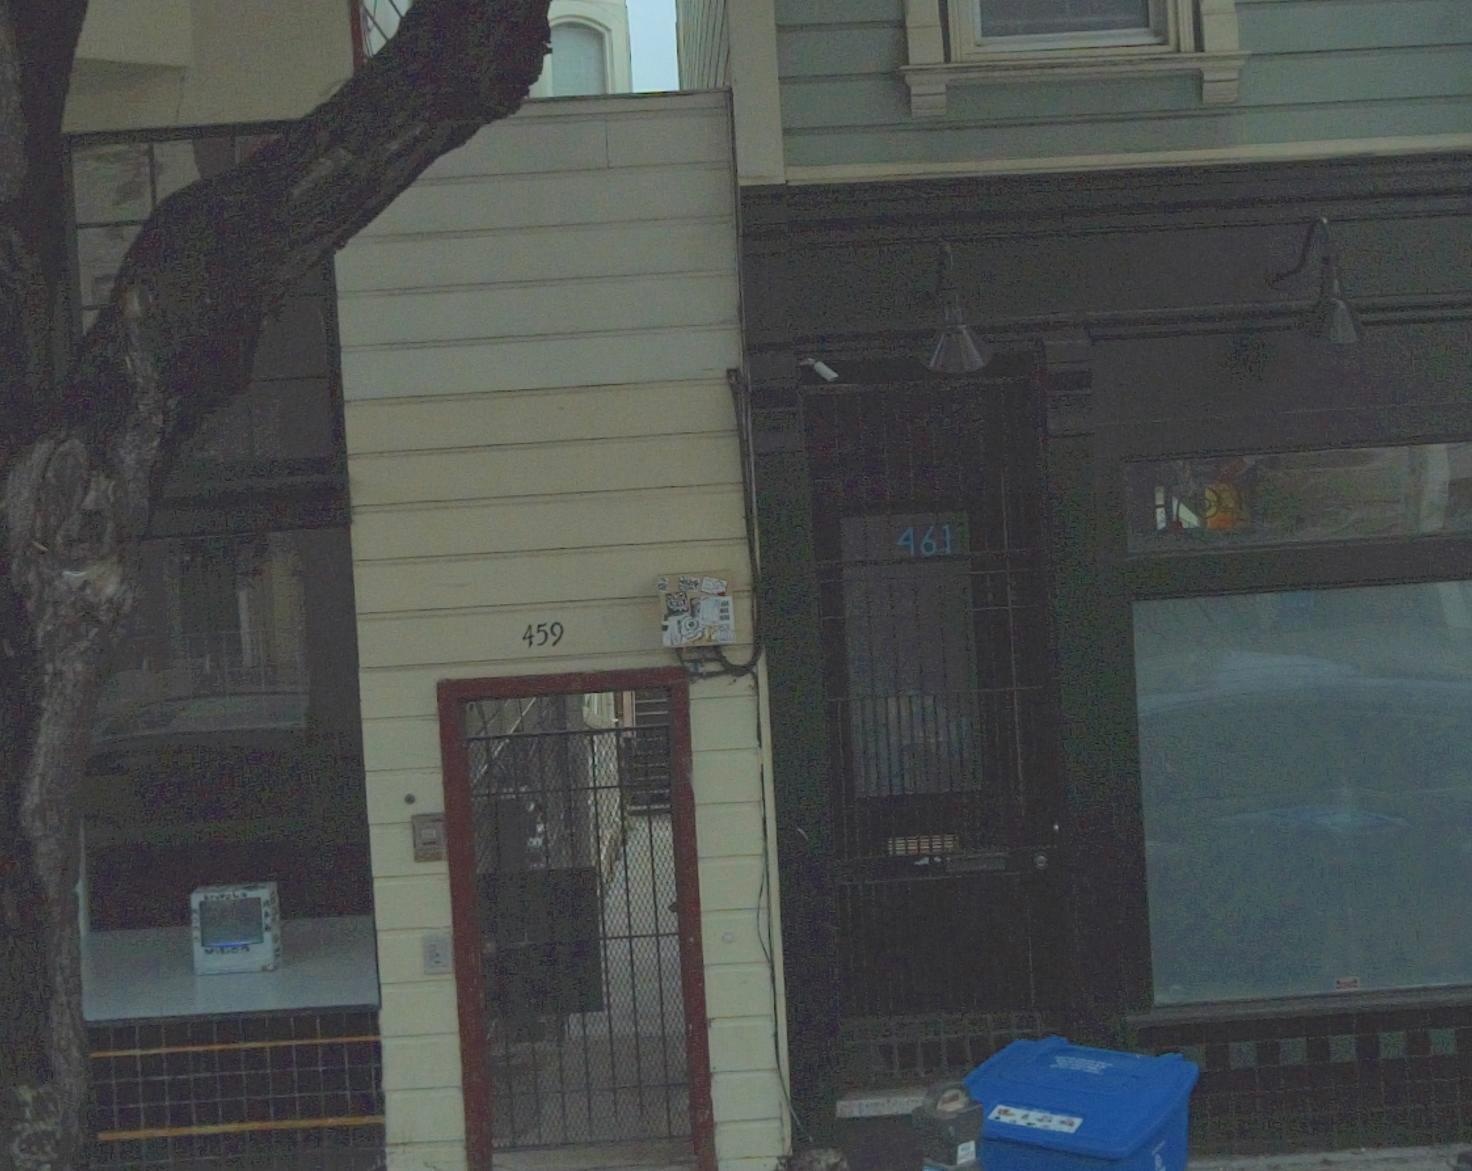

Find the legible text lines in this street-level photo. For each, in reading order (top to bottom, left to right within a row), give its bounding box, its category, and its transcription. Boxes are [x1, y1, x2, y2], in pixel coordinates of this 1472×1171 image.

[894, 522, 953, 558] StreetNumber: 461
[520, 620, 565, 650] StreetNumber: 459